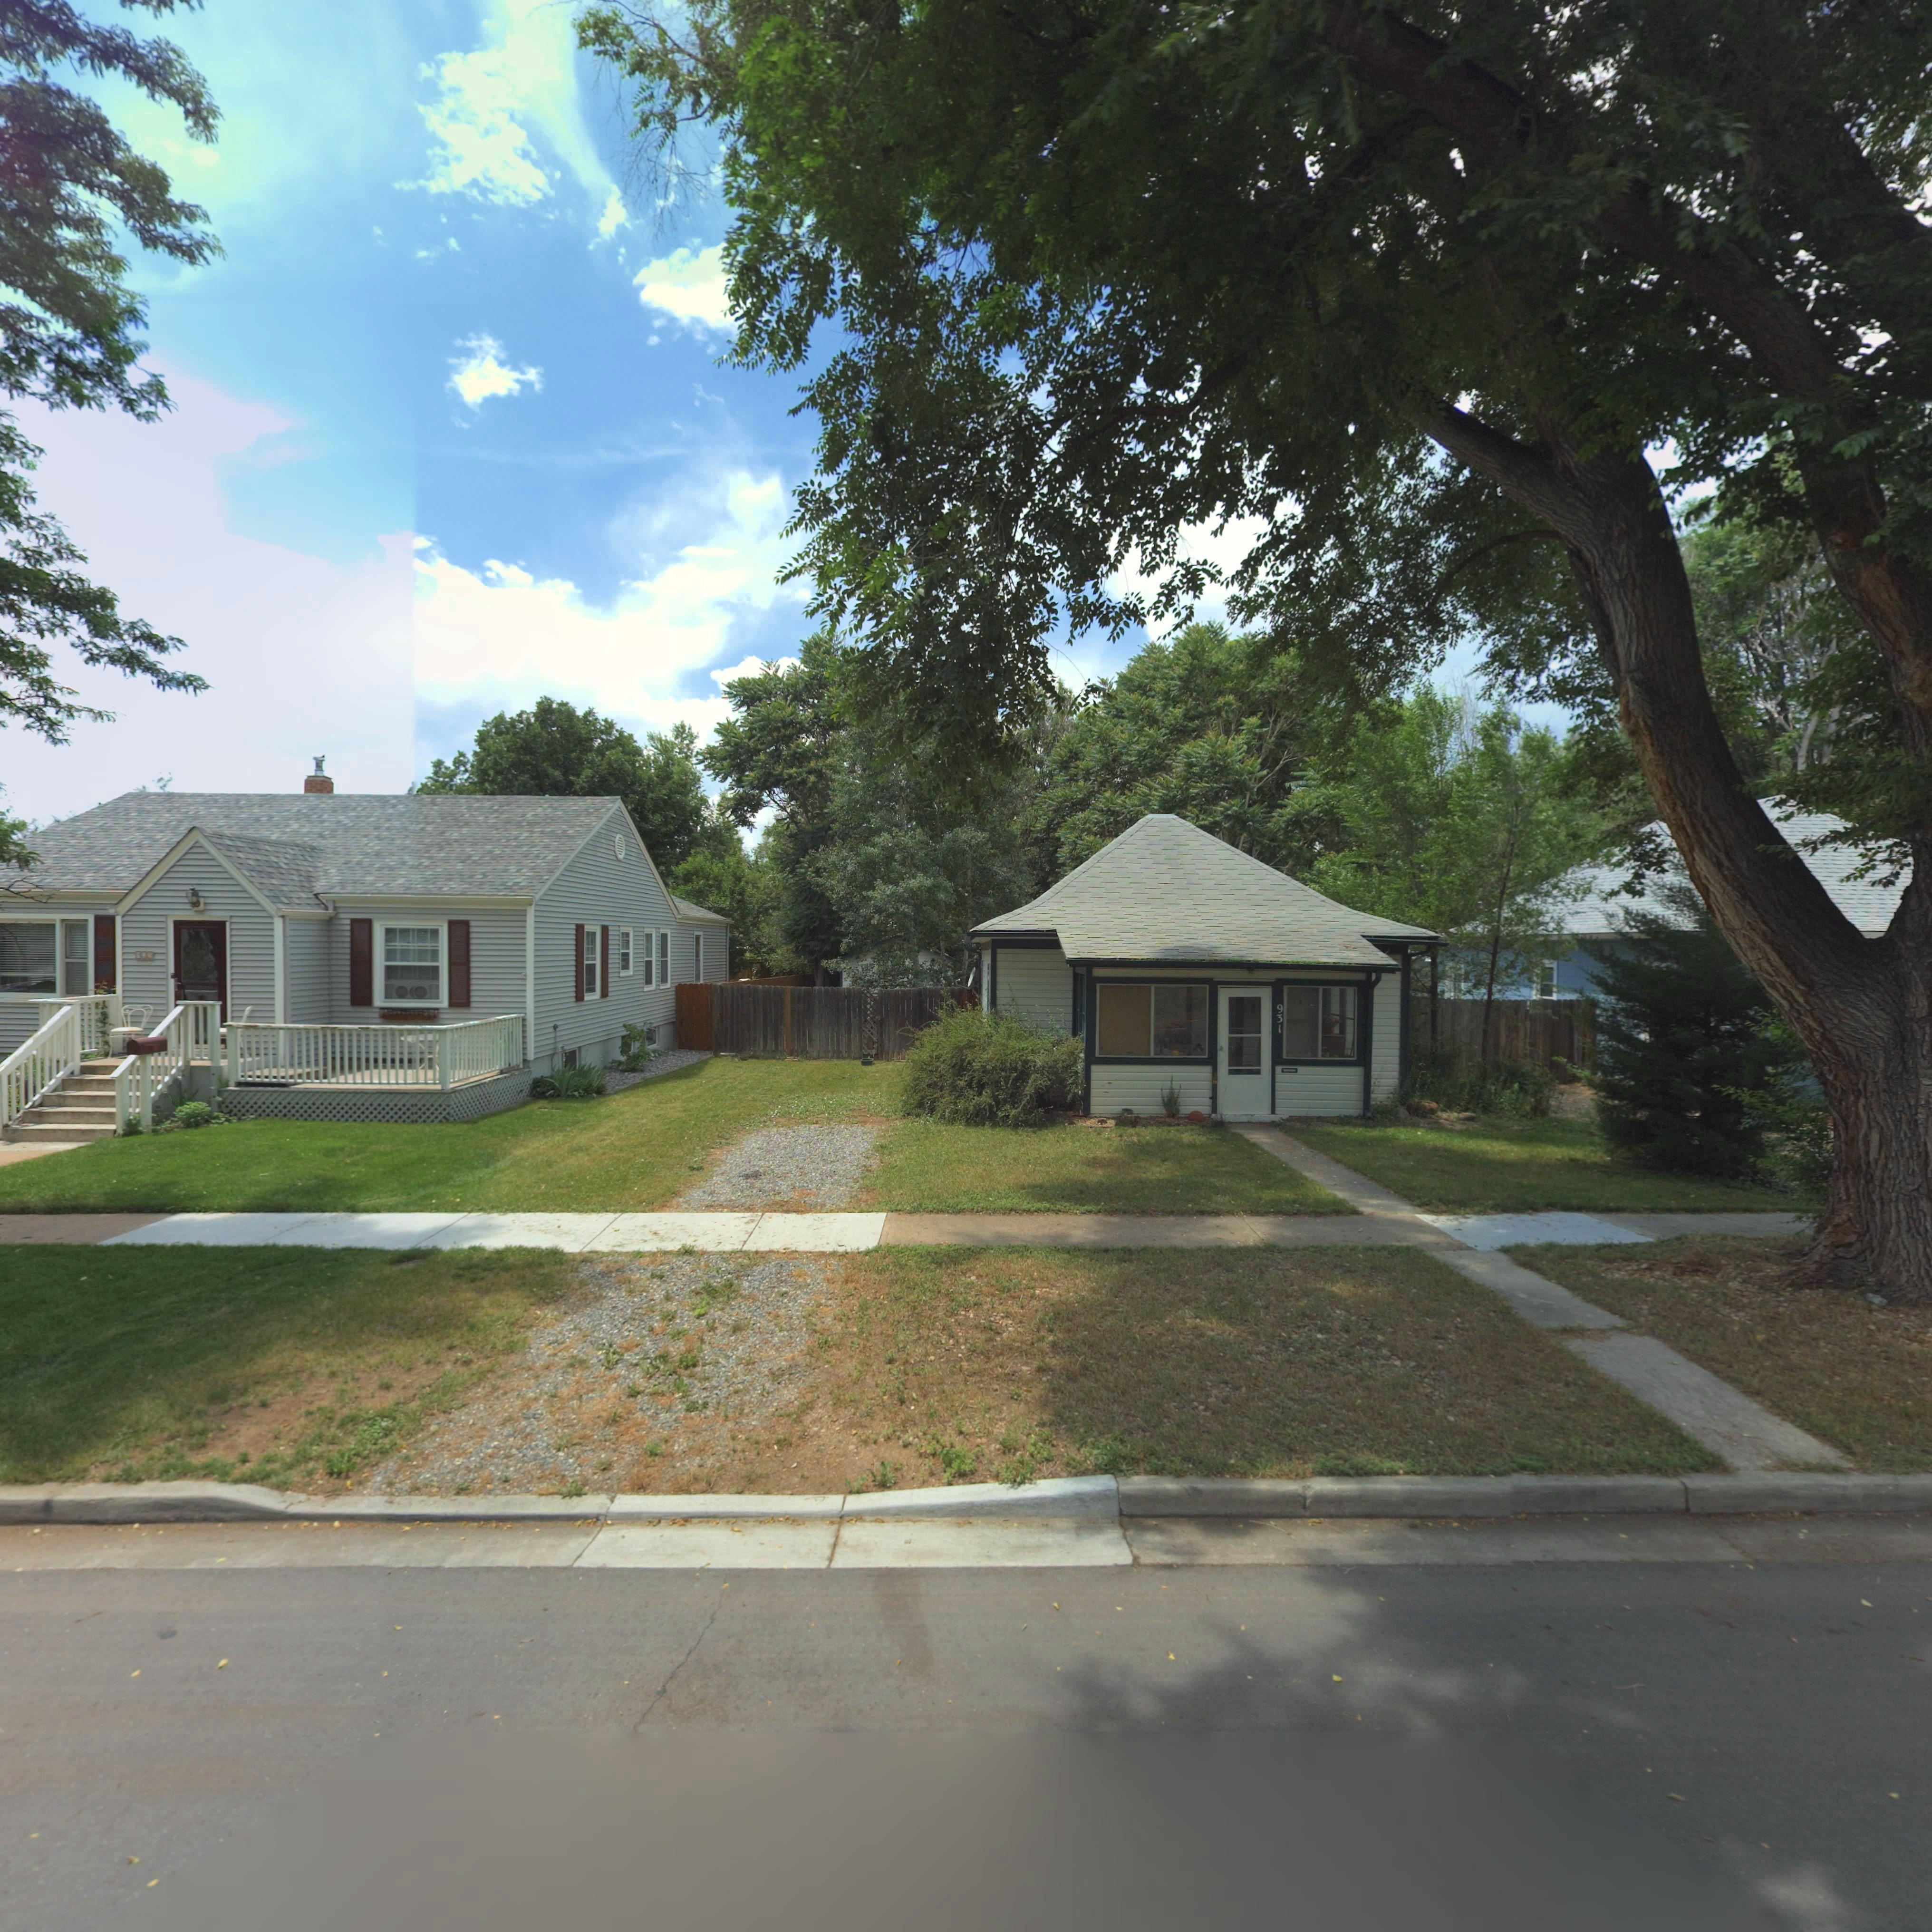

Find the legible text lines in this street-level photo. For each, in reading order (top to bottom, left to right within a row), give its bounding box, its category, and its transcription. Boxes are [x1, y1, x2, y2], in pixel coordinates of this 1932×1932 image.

[136, 952, 152, 958] StreetNumber: **5
[1276, 1004, 1284, 1034] StreetNumber: 931